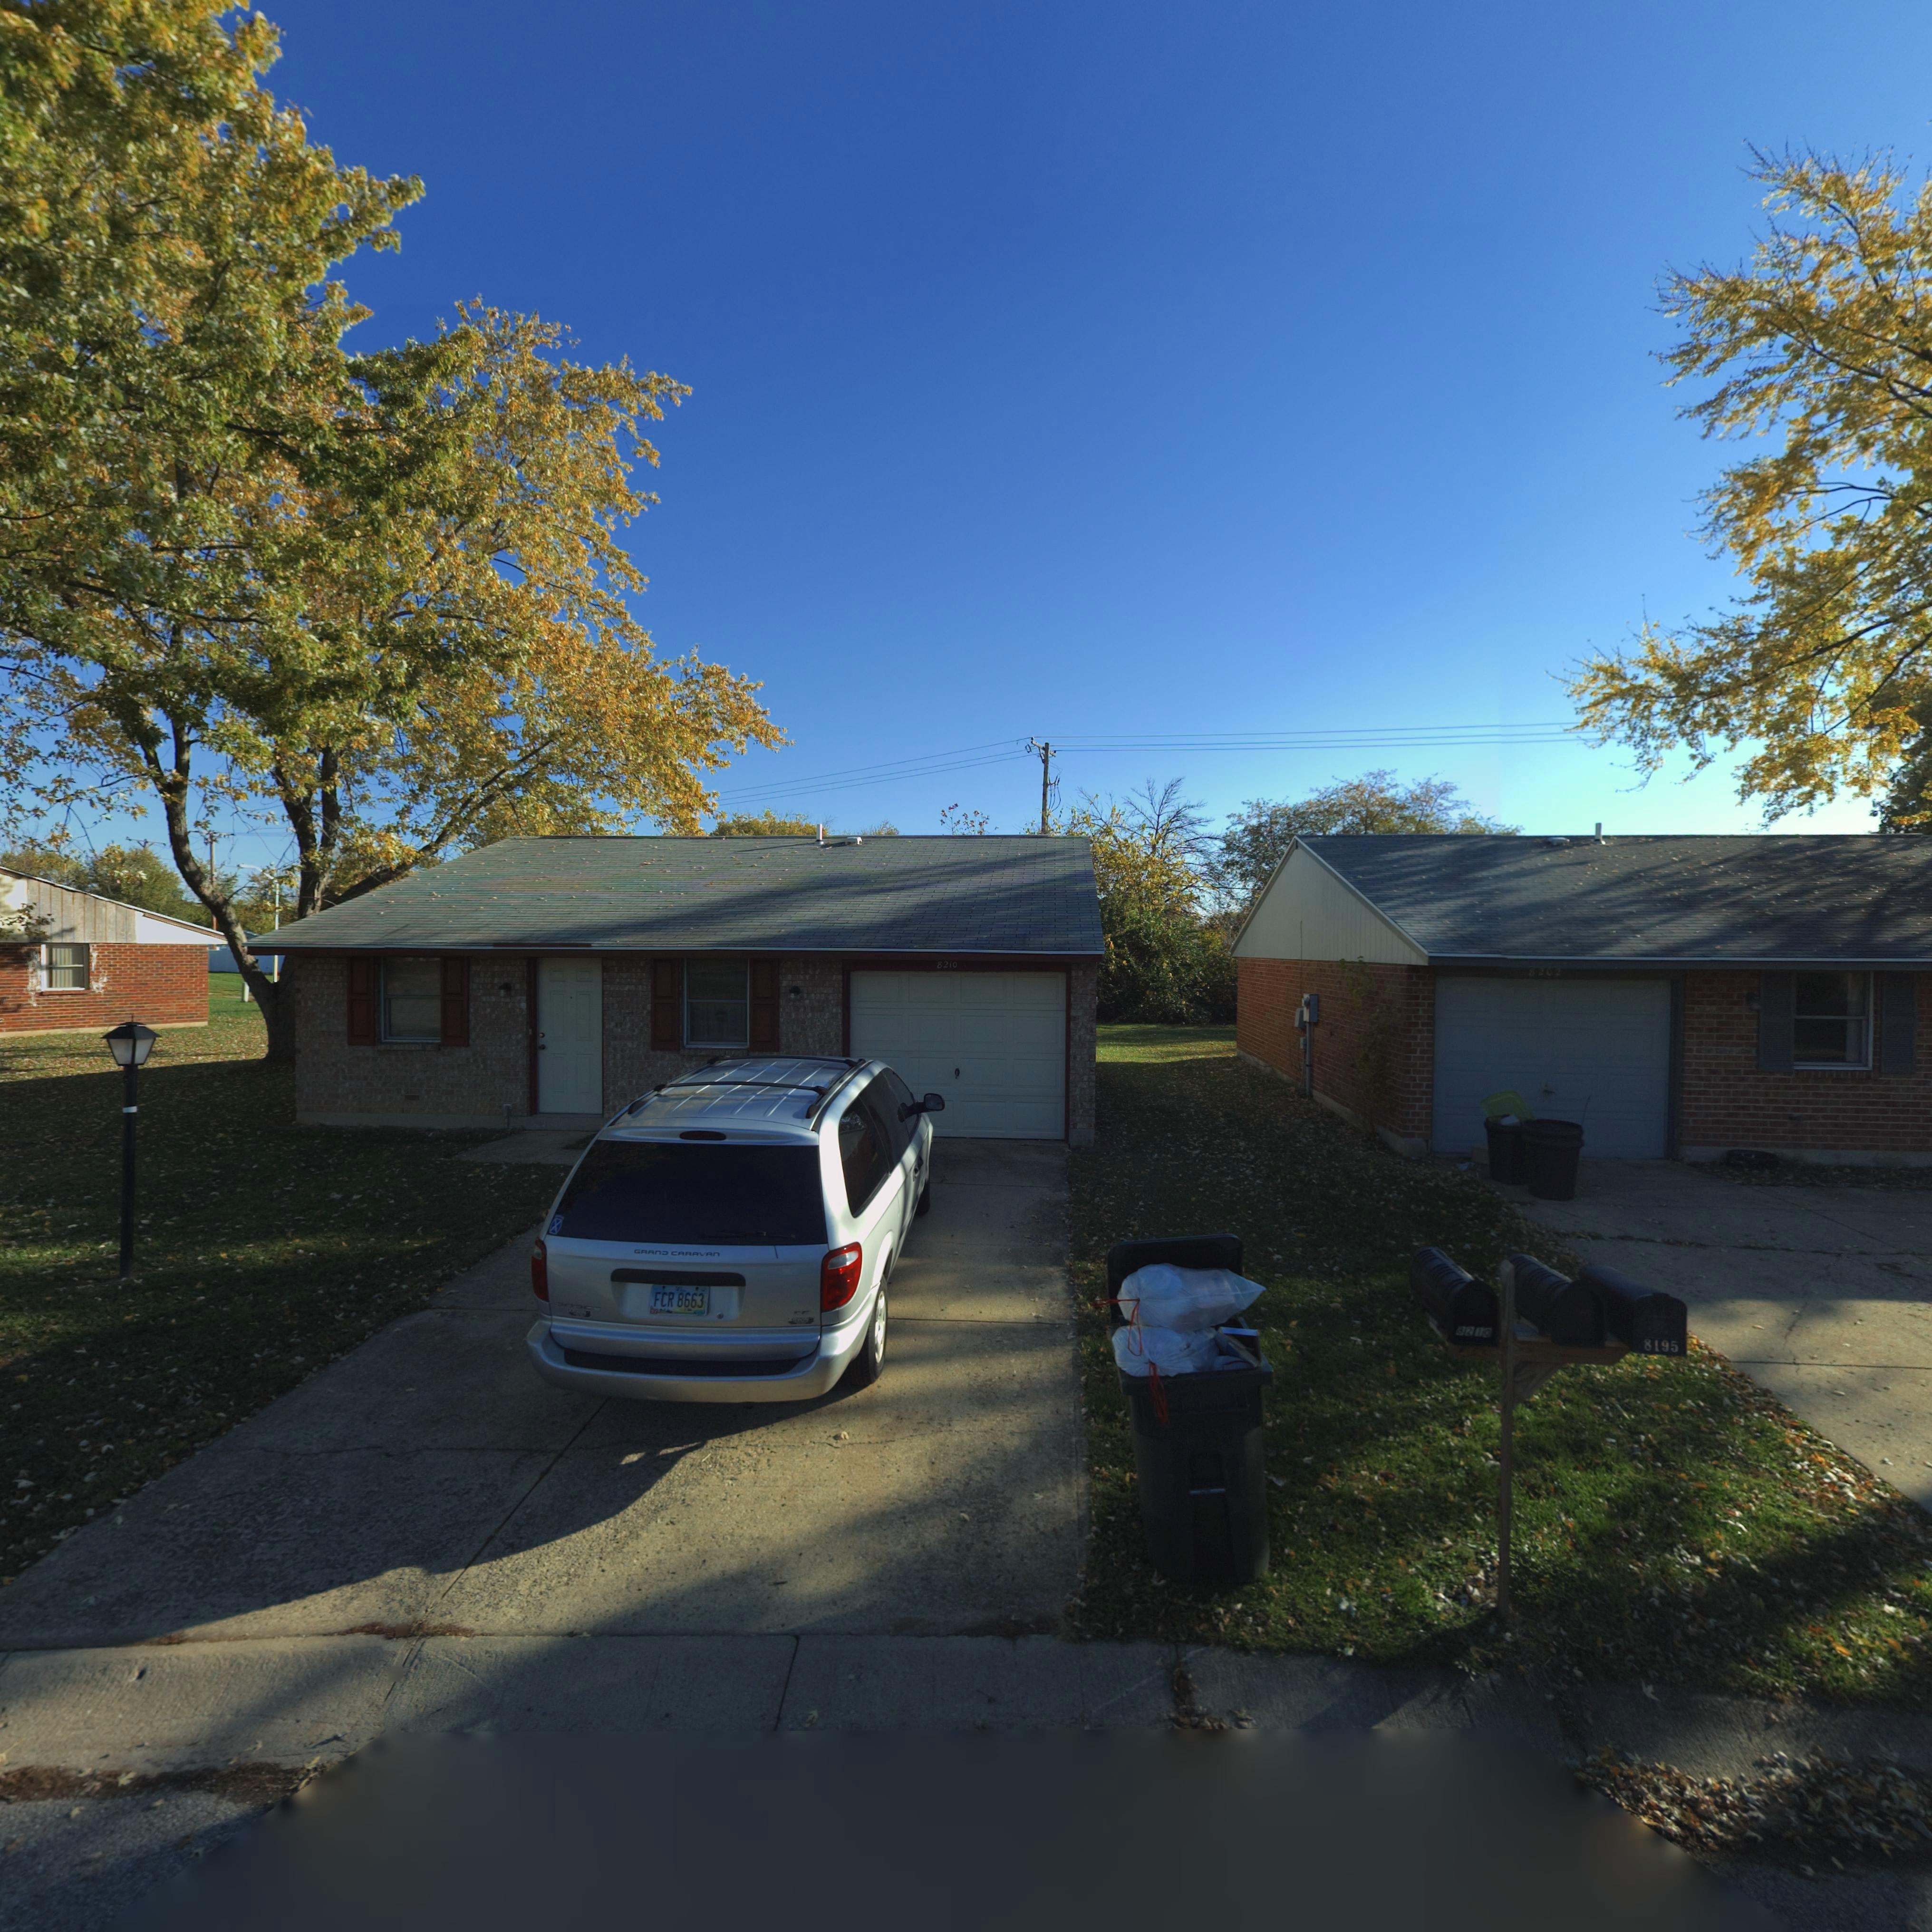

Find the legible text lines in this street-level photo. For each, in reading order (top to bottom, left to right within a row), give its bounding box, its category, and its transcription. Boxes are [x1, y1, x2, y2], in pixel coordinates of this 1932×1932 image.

[936, 960, 959, 970] StreetNumber: 8210
[1527, 966, 1563, 978] StreetNumber: 8202
[1455, 1325, 1493, 1338] StreetNumber: 8210
[1643, 1337, 1681, 1354] StreetNumber: 8195